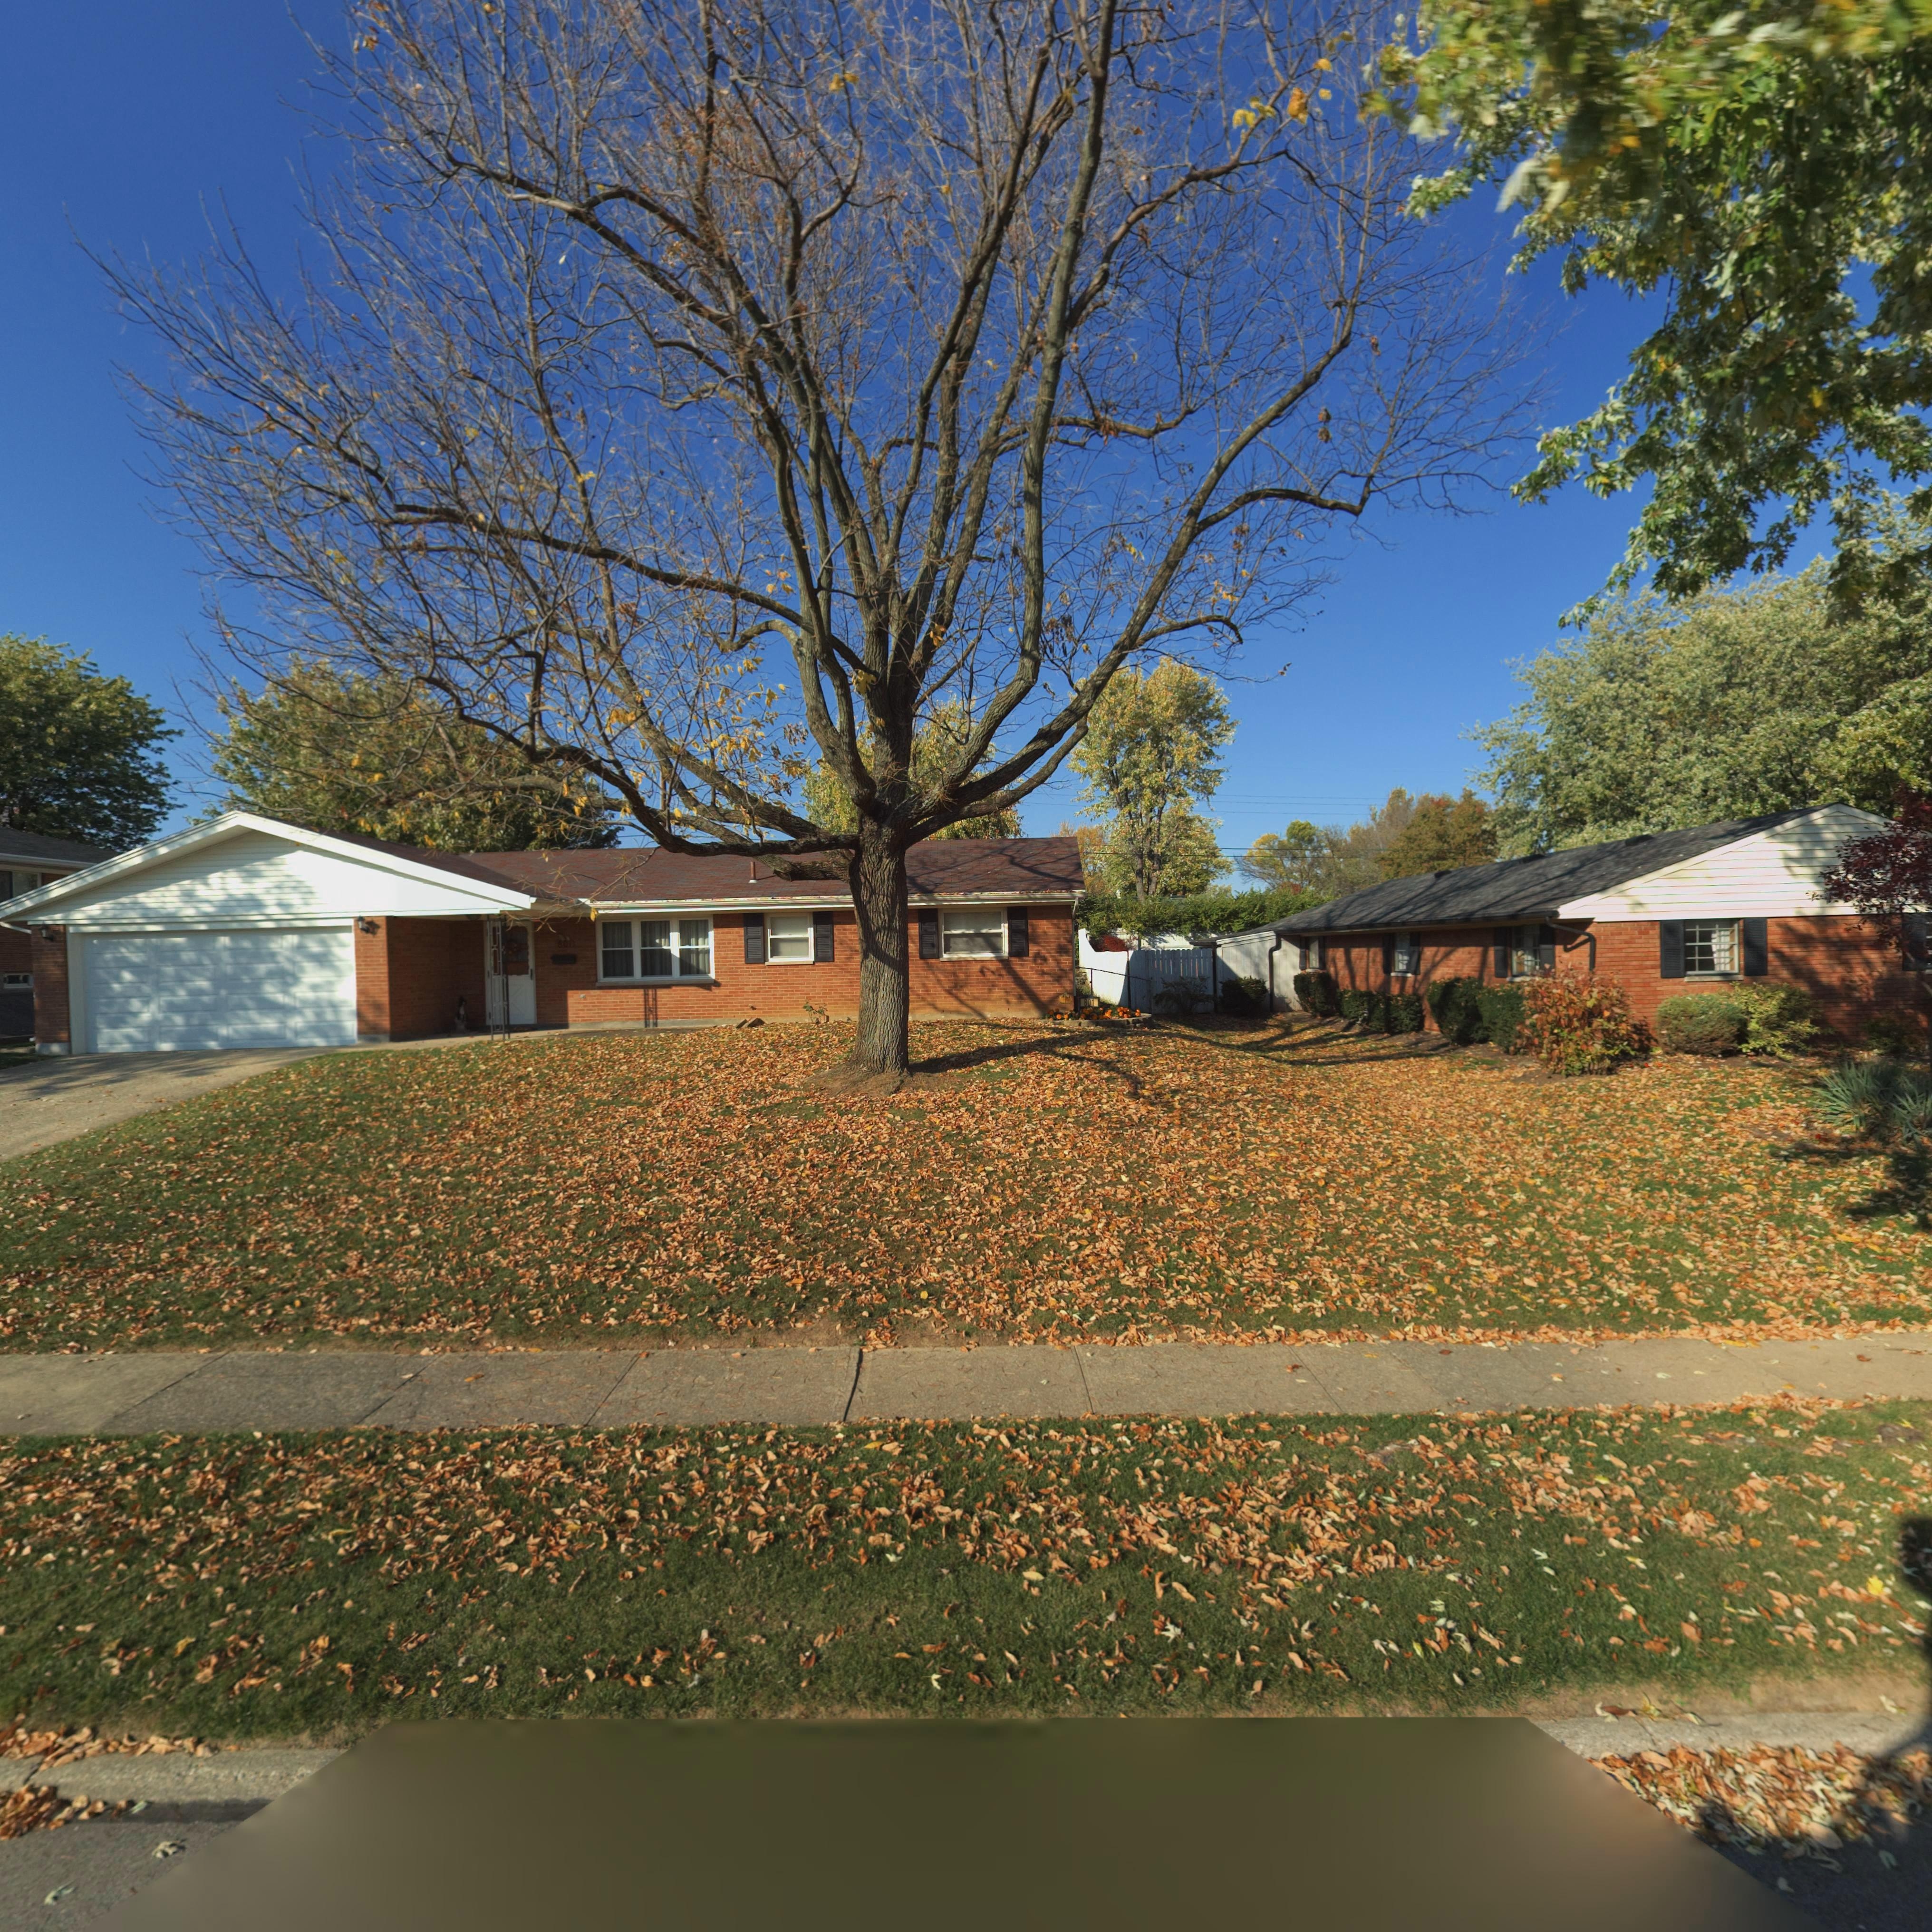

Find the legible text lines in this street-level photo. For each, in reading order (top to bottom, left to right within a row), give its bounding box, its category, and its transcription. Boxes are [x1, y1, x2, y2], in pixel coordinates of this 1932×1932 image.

[557, 939, 570, 948] StreetNumber: 801